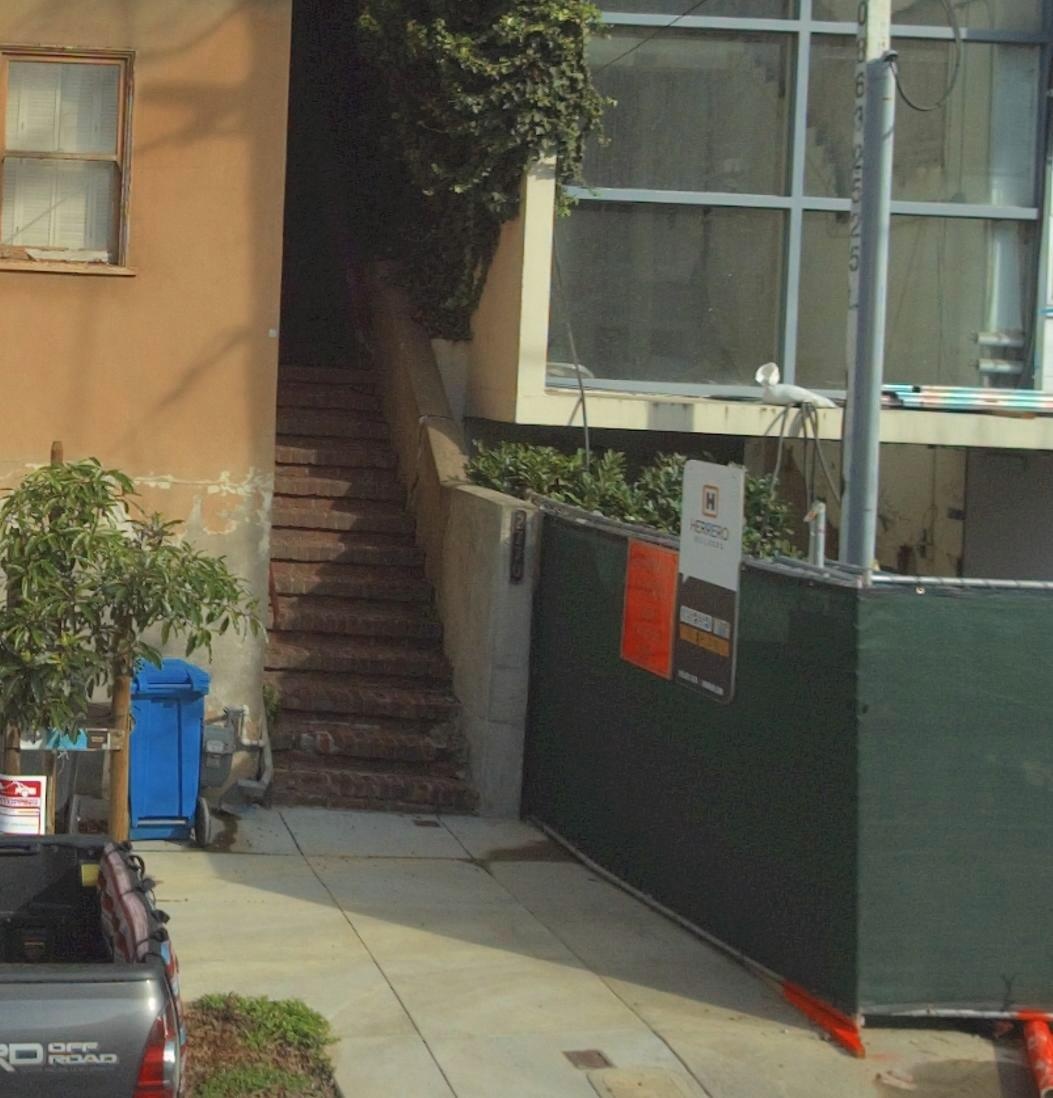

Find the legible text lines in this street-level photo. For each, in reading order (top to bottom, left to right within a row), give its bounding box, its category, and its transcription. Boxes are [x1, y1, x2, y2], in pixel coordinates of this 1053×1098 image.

[845, 0, 870, 275] None: 08632525
[704, 489, 717, 513] None: H
[687, 513, 731, 546] None: HERRERO
[509, 511, 527, 579] StreetNumber: 2770
[5, 1040, 46, 1068] None: D
[46, 1039, 100, 1054] None: OFF
[46, 1051, 121, 1067] None: ROAD